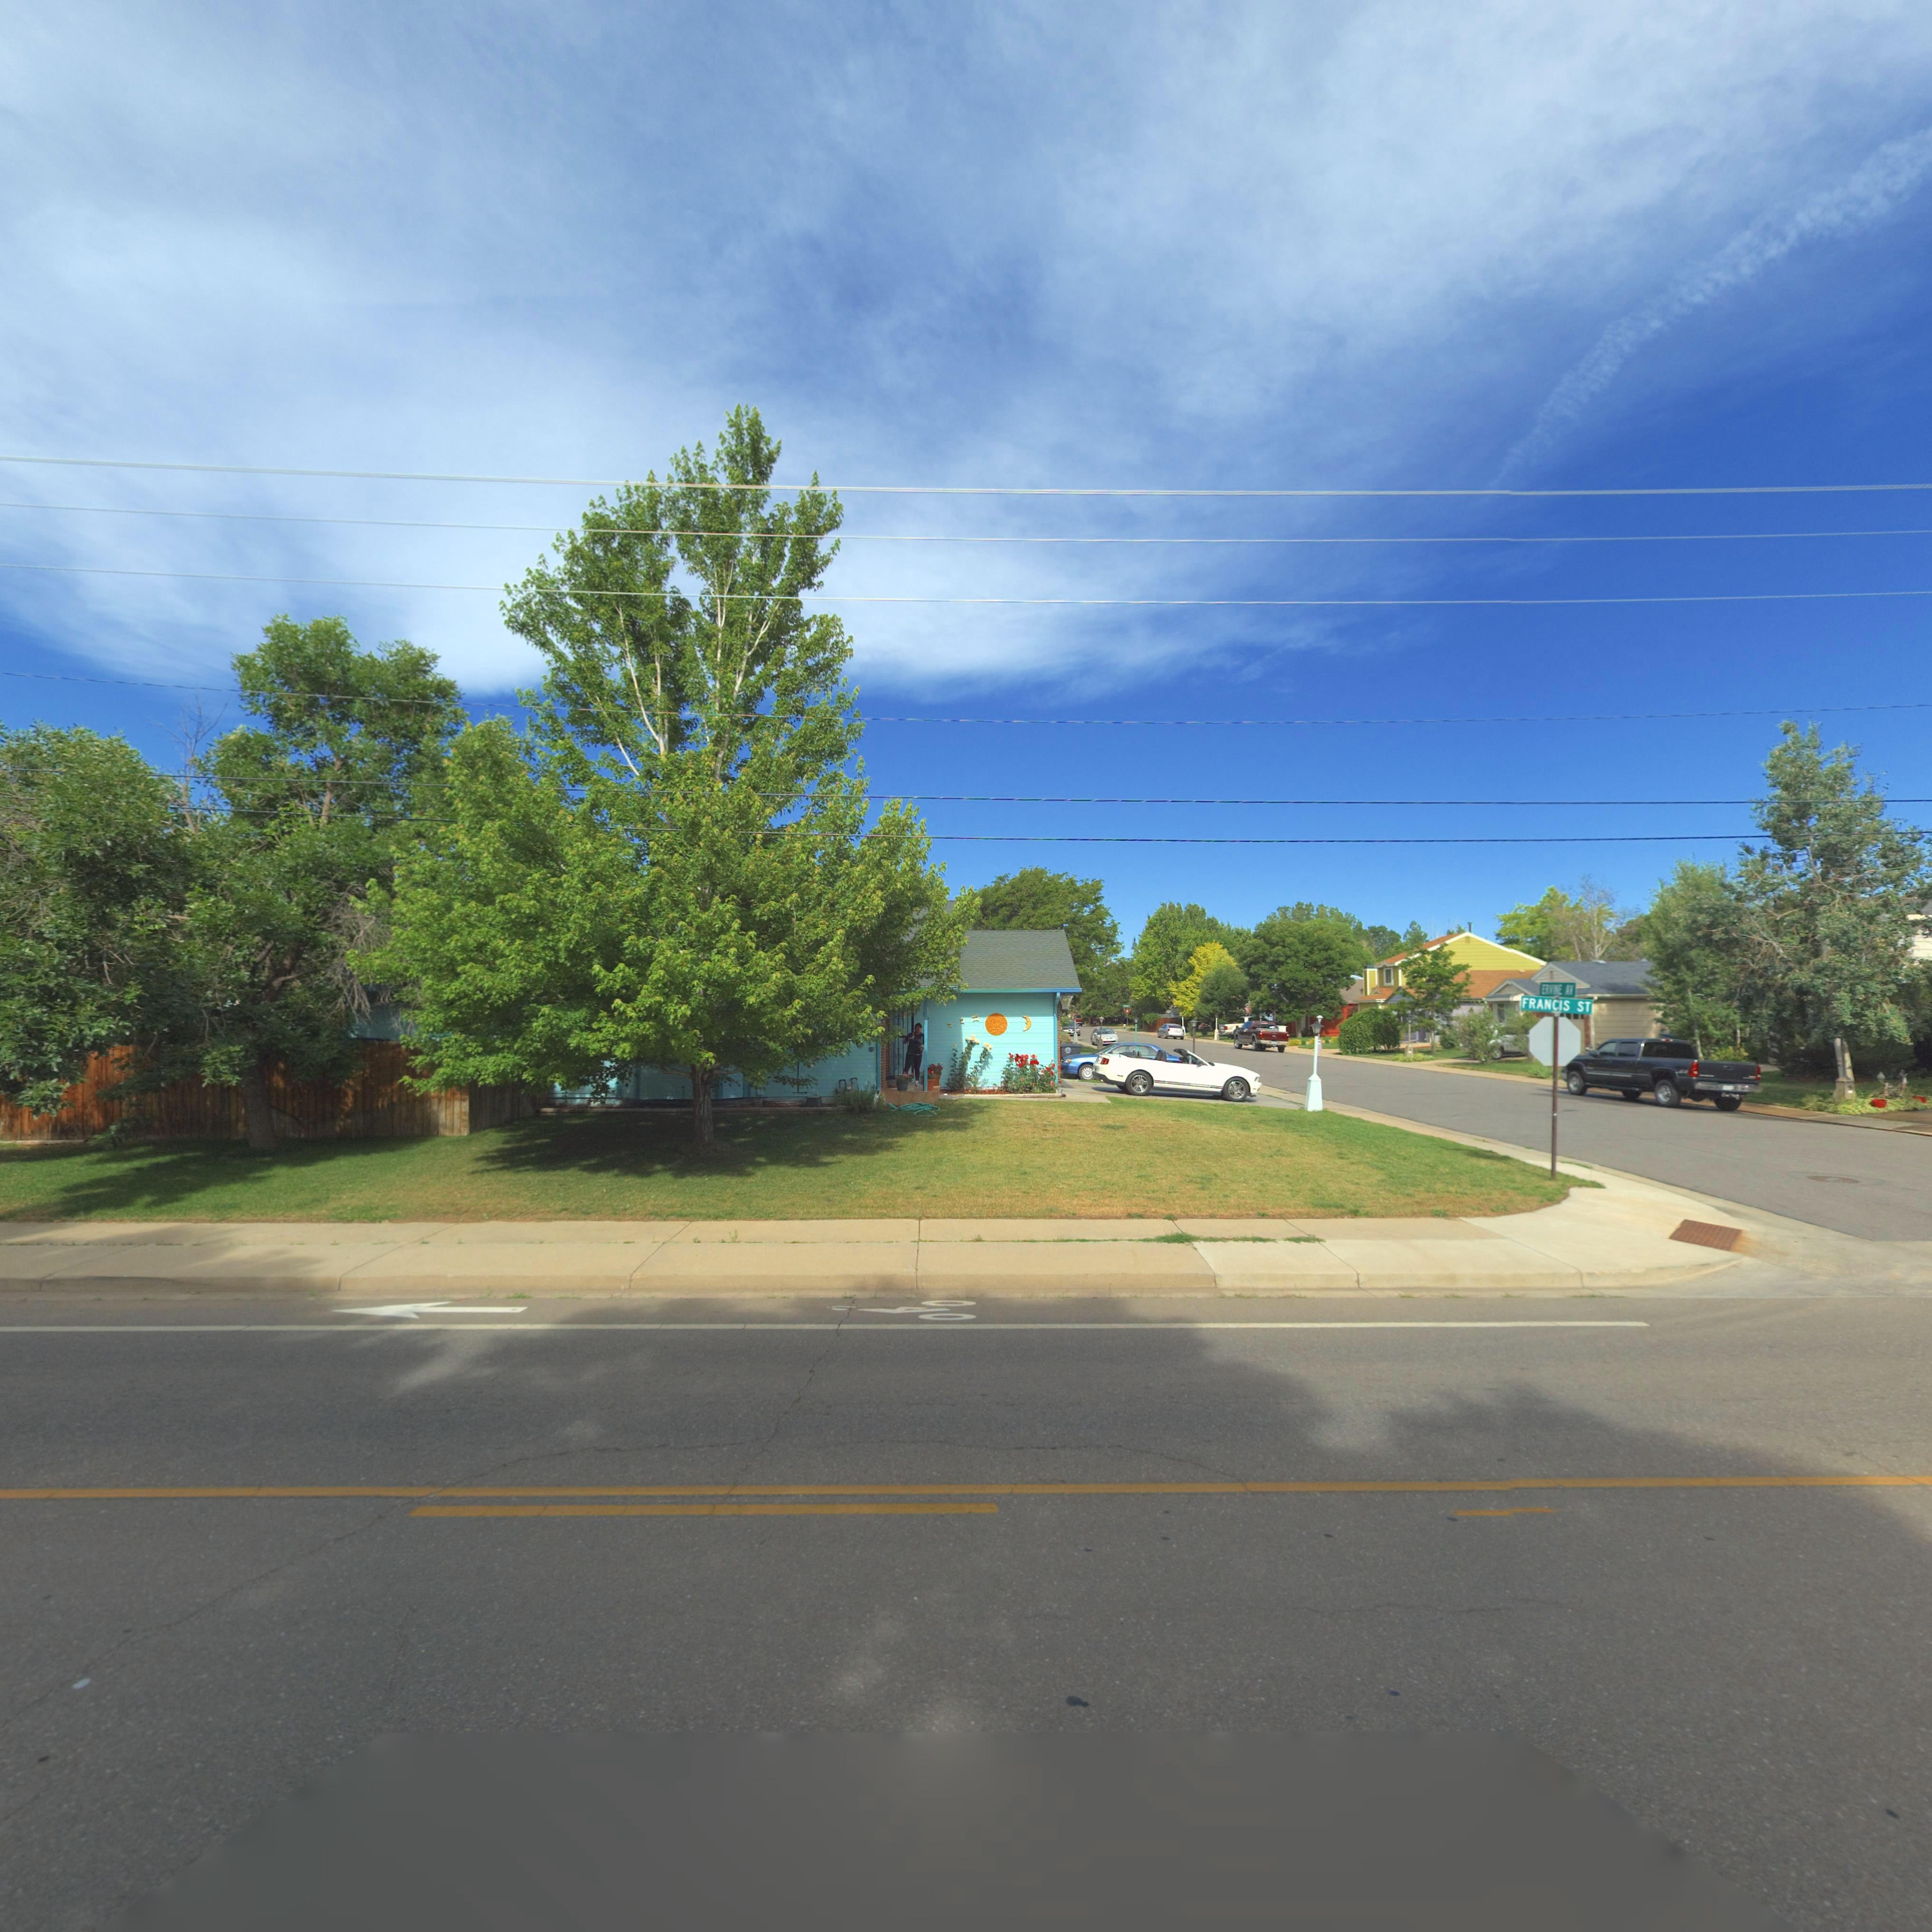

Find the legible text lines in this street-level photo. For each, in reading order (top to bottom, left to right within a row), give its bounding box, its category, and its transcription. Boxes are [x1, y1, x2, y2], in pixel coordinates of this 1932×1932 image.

[1541, 984, 1575, 995] StreetName: ERVINE AV
[1521, 996, 1591, 1013] StreetName: FRANCIS ST